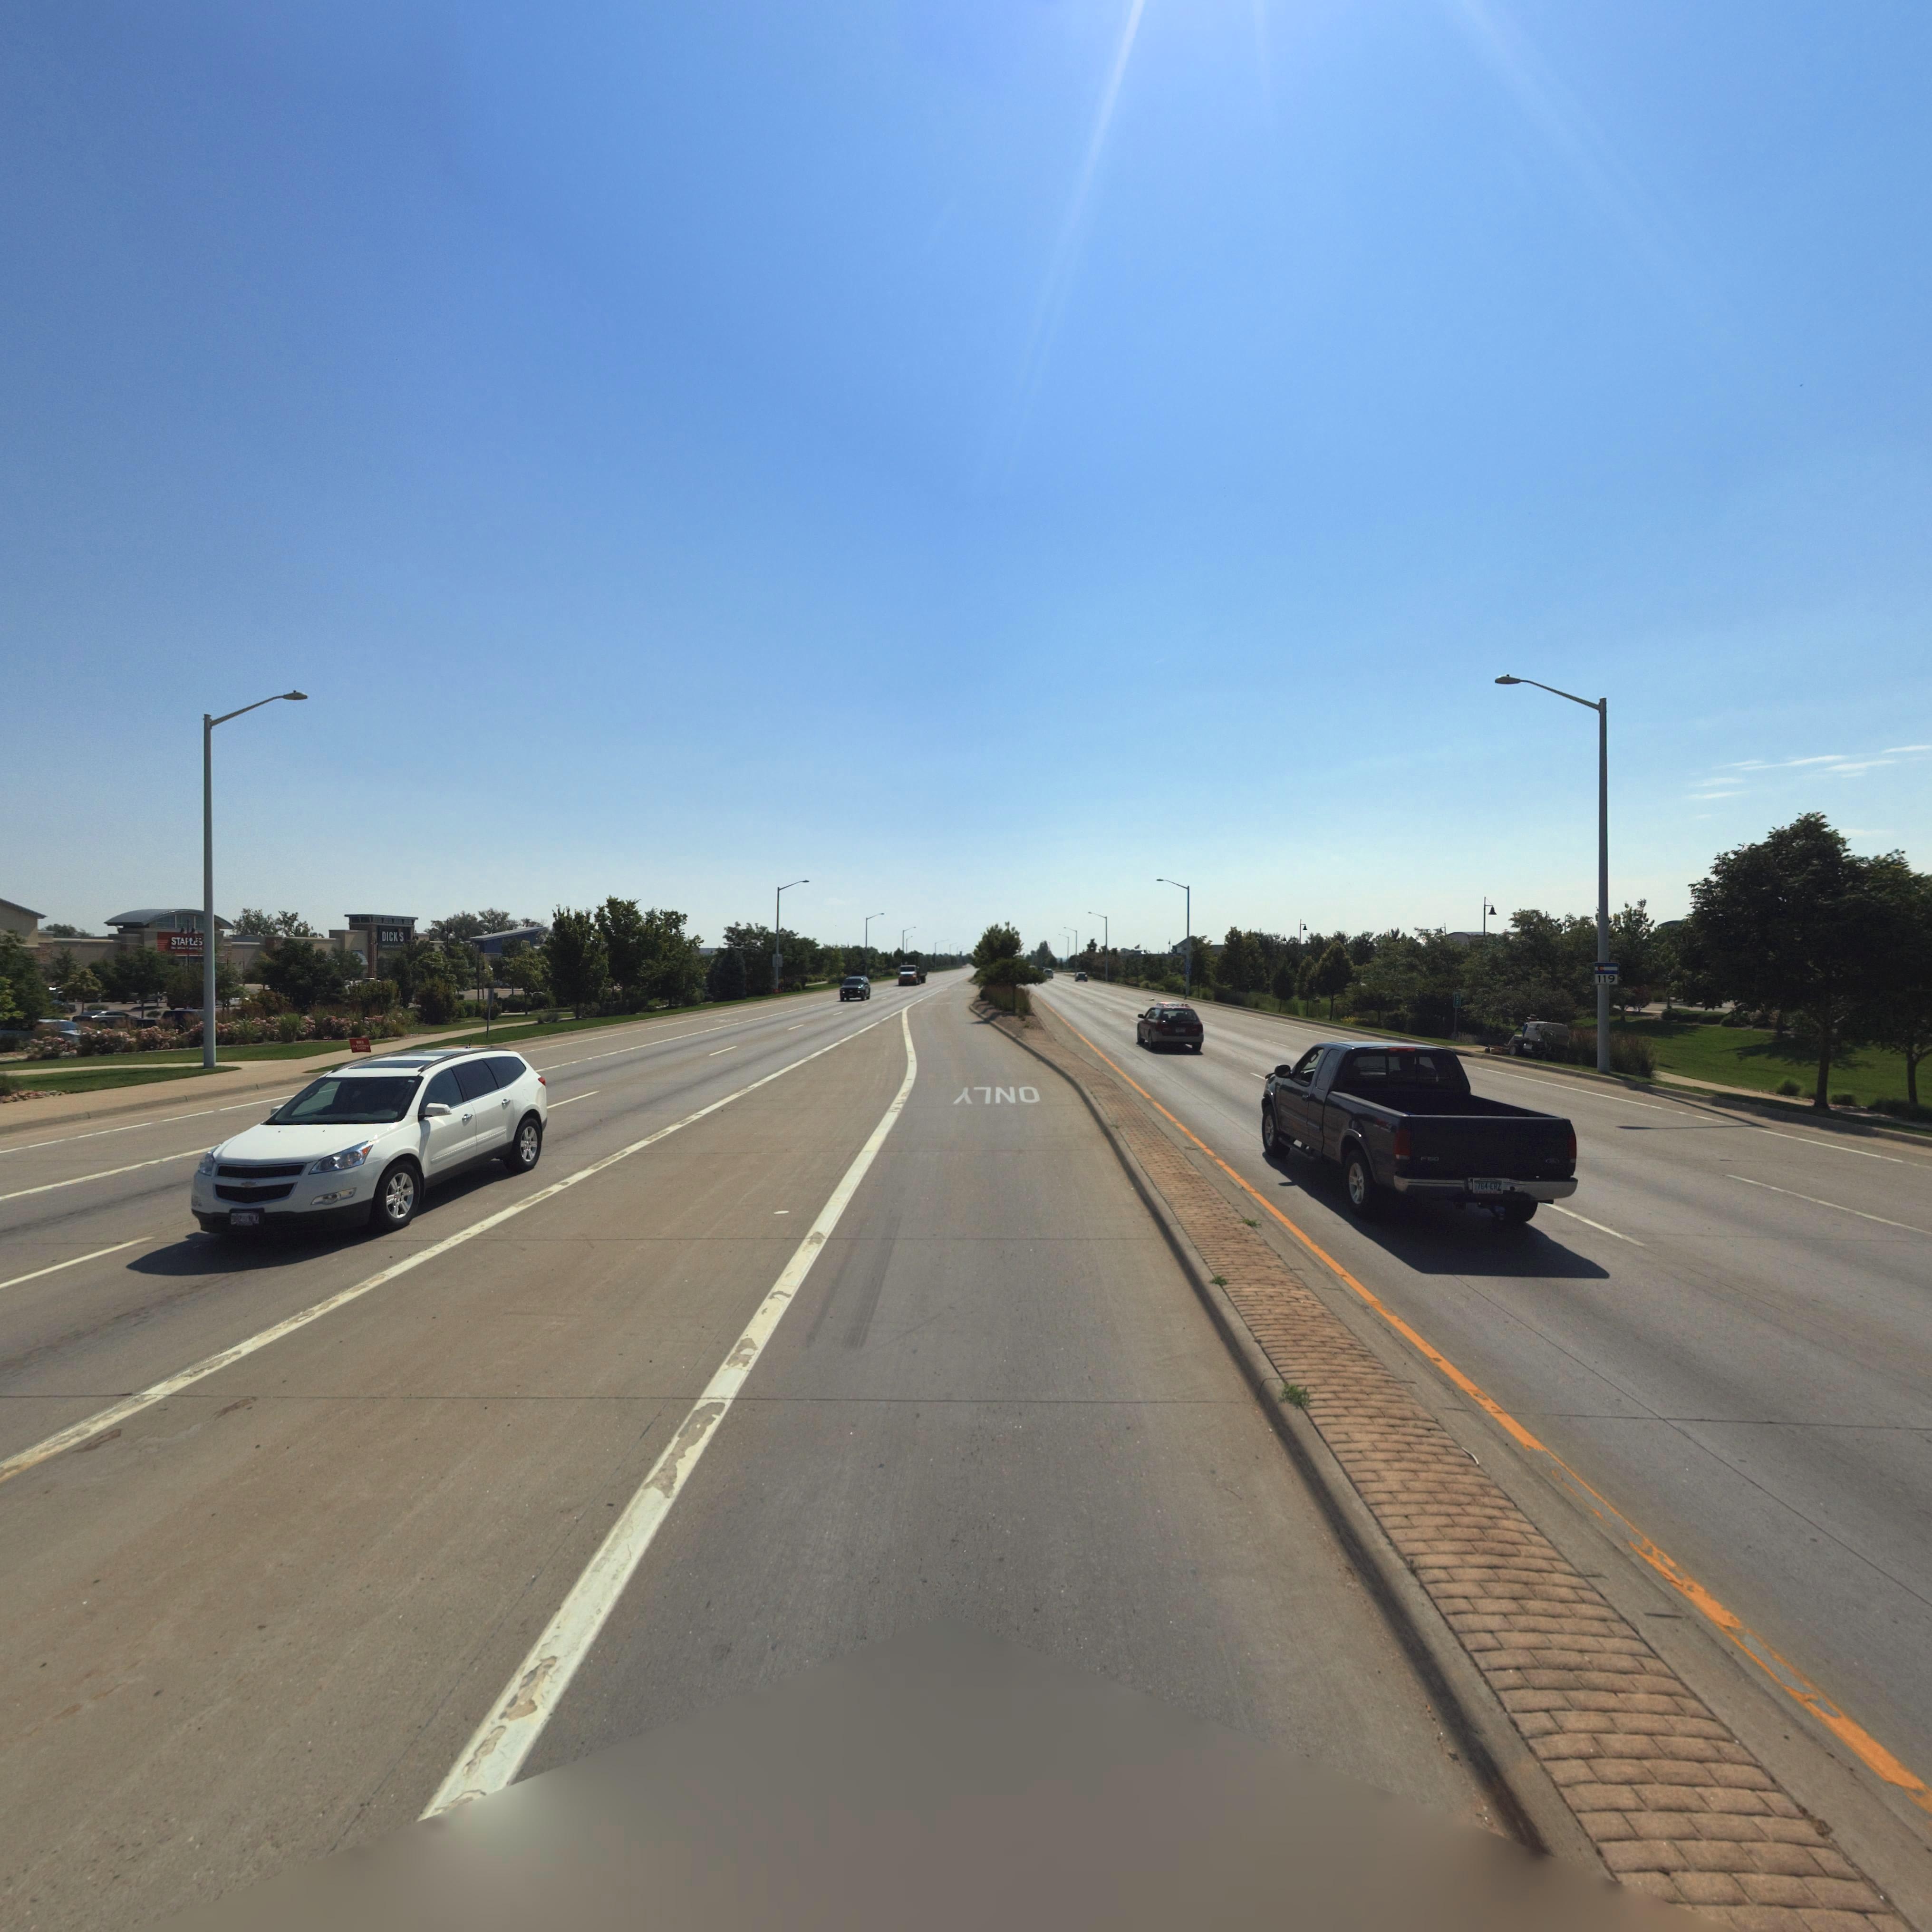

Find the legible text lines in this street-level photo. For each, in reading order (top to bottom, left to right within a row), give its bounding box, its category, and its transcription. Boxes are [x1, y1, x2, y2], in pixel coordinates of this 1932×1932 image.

[171, 937, 202, 945] None: STAPLES
[381, 931, 403, 942] BusinessName: DICK*S